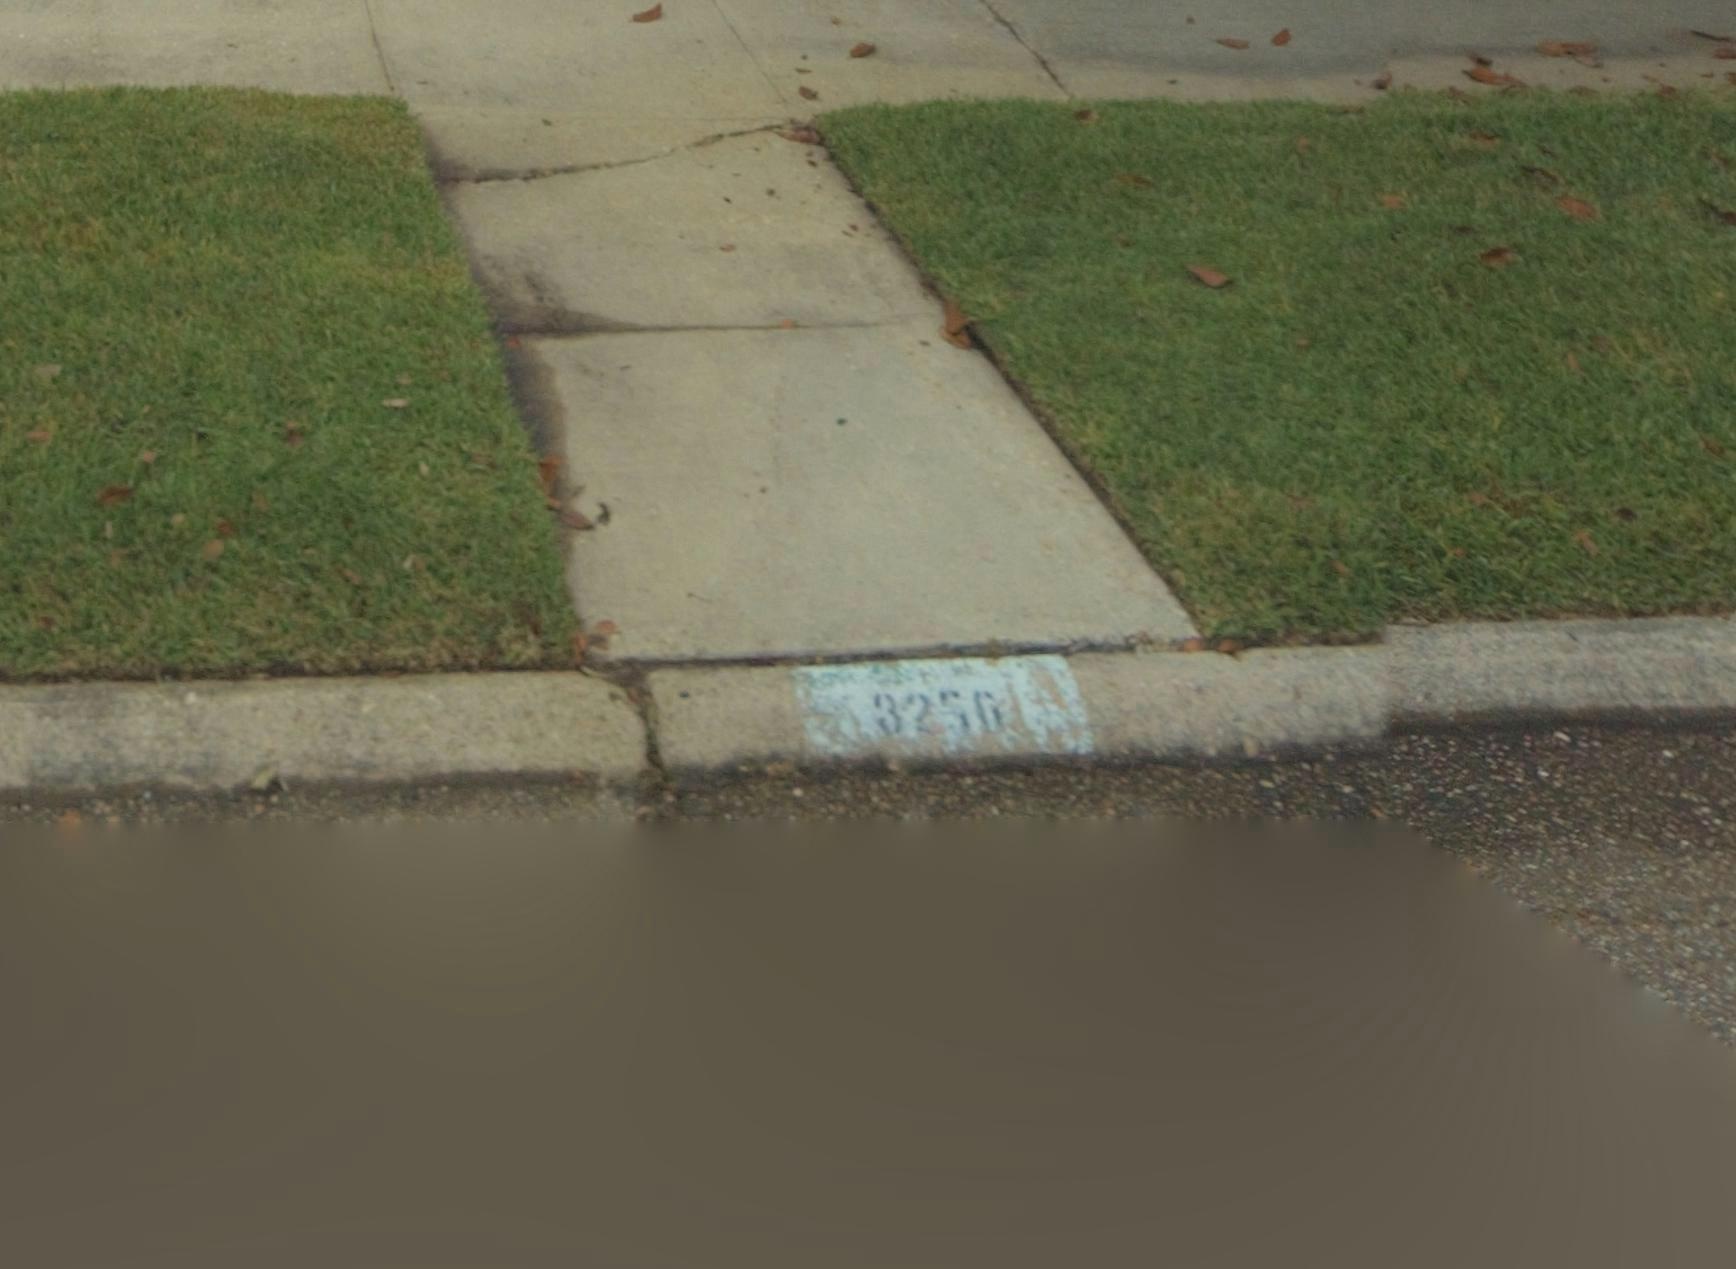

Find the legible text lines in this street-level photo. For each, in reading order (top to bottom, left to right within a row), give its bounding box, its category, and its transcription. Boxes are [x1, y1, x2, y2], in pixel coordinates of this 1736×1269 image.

[874, 690, 1002, 737] StreetNumber: 3250